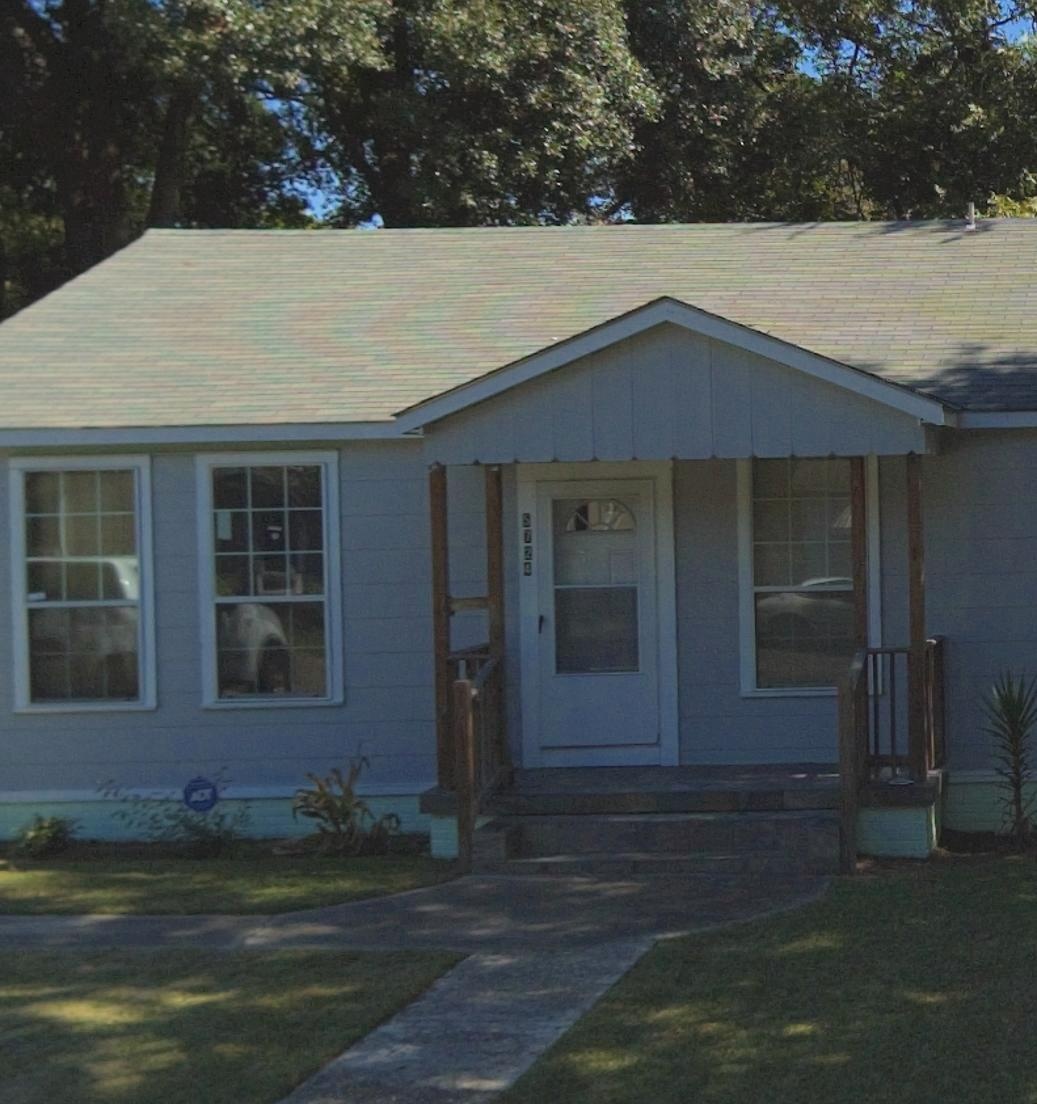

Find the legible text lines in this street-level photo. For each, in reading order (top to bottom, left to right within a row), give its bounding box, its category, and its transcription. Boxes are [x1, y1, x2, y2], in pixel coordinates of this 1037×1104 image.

[522, 513, 533, 576] StreetNumber: 5724
[189, 786, 214, 804] None: ADT